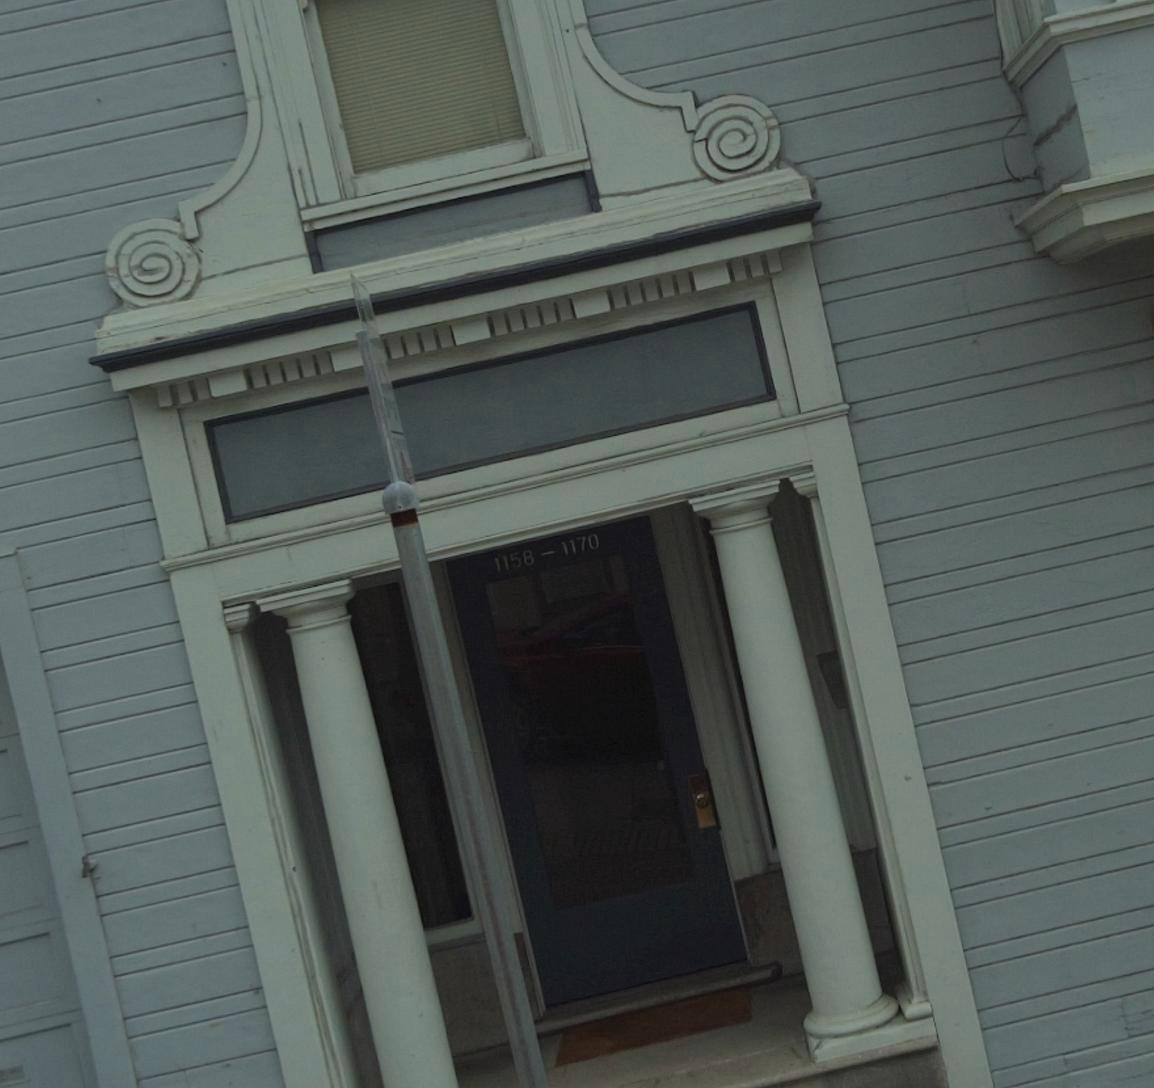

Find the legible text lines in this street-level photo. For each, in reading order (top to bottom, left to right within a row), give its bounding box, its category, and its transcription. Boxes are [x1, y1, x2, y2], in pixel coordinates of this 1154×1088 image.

[557, 530, 604, 558] StreetNumber: 1170
[490, 545, 539, 577] StreetNumber: 1158